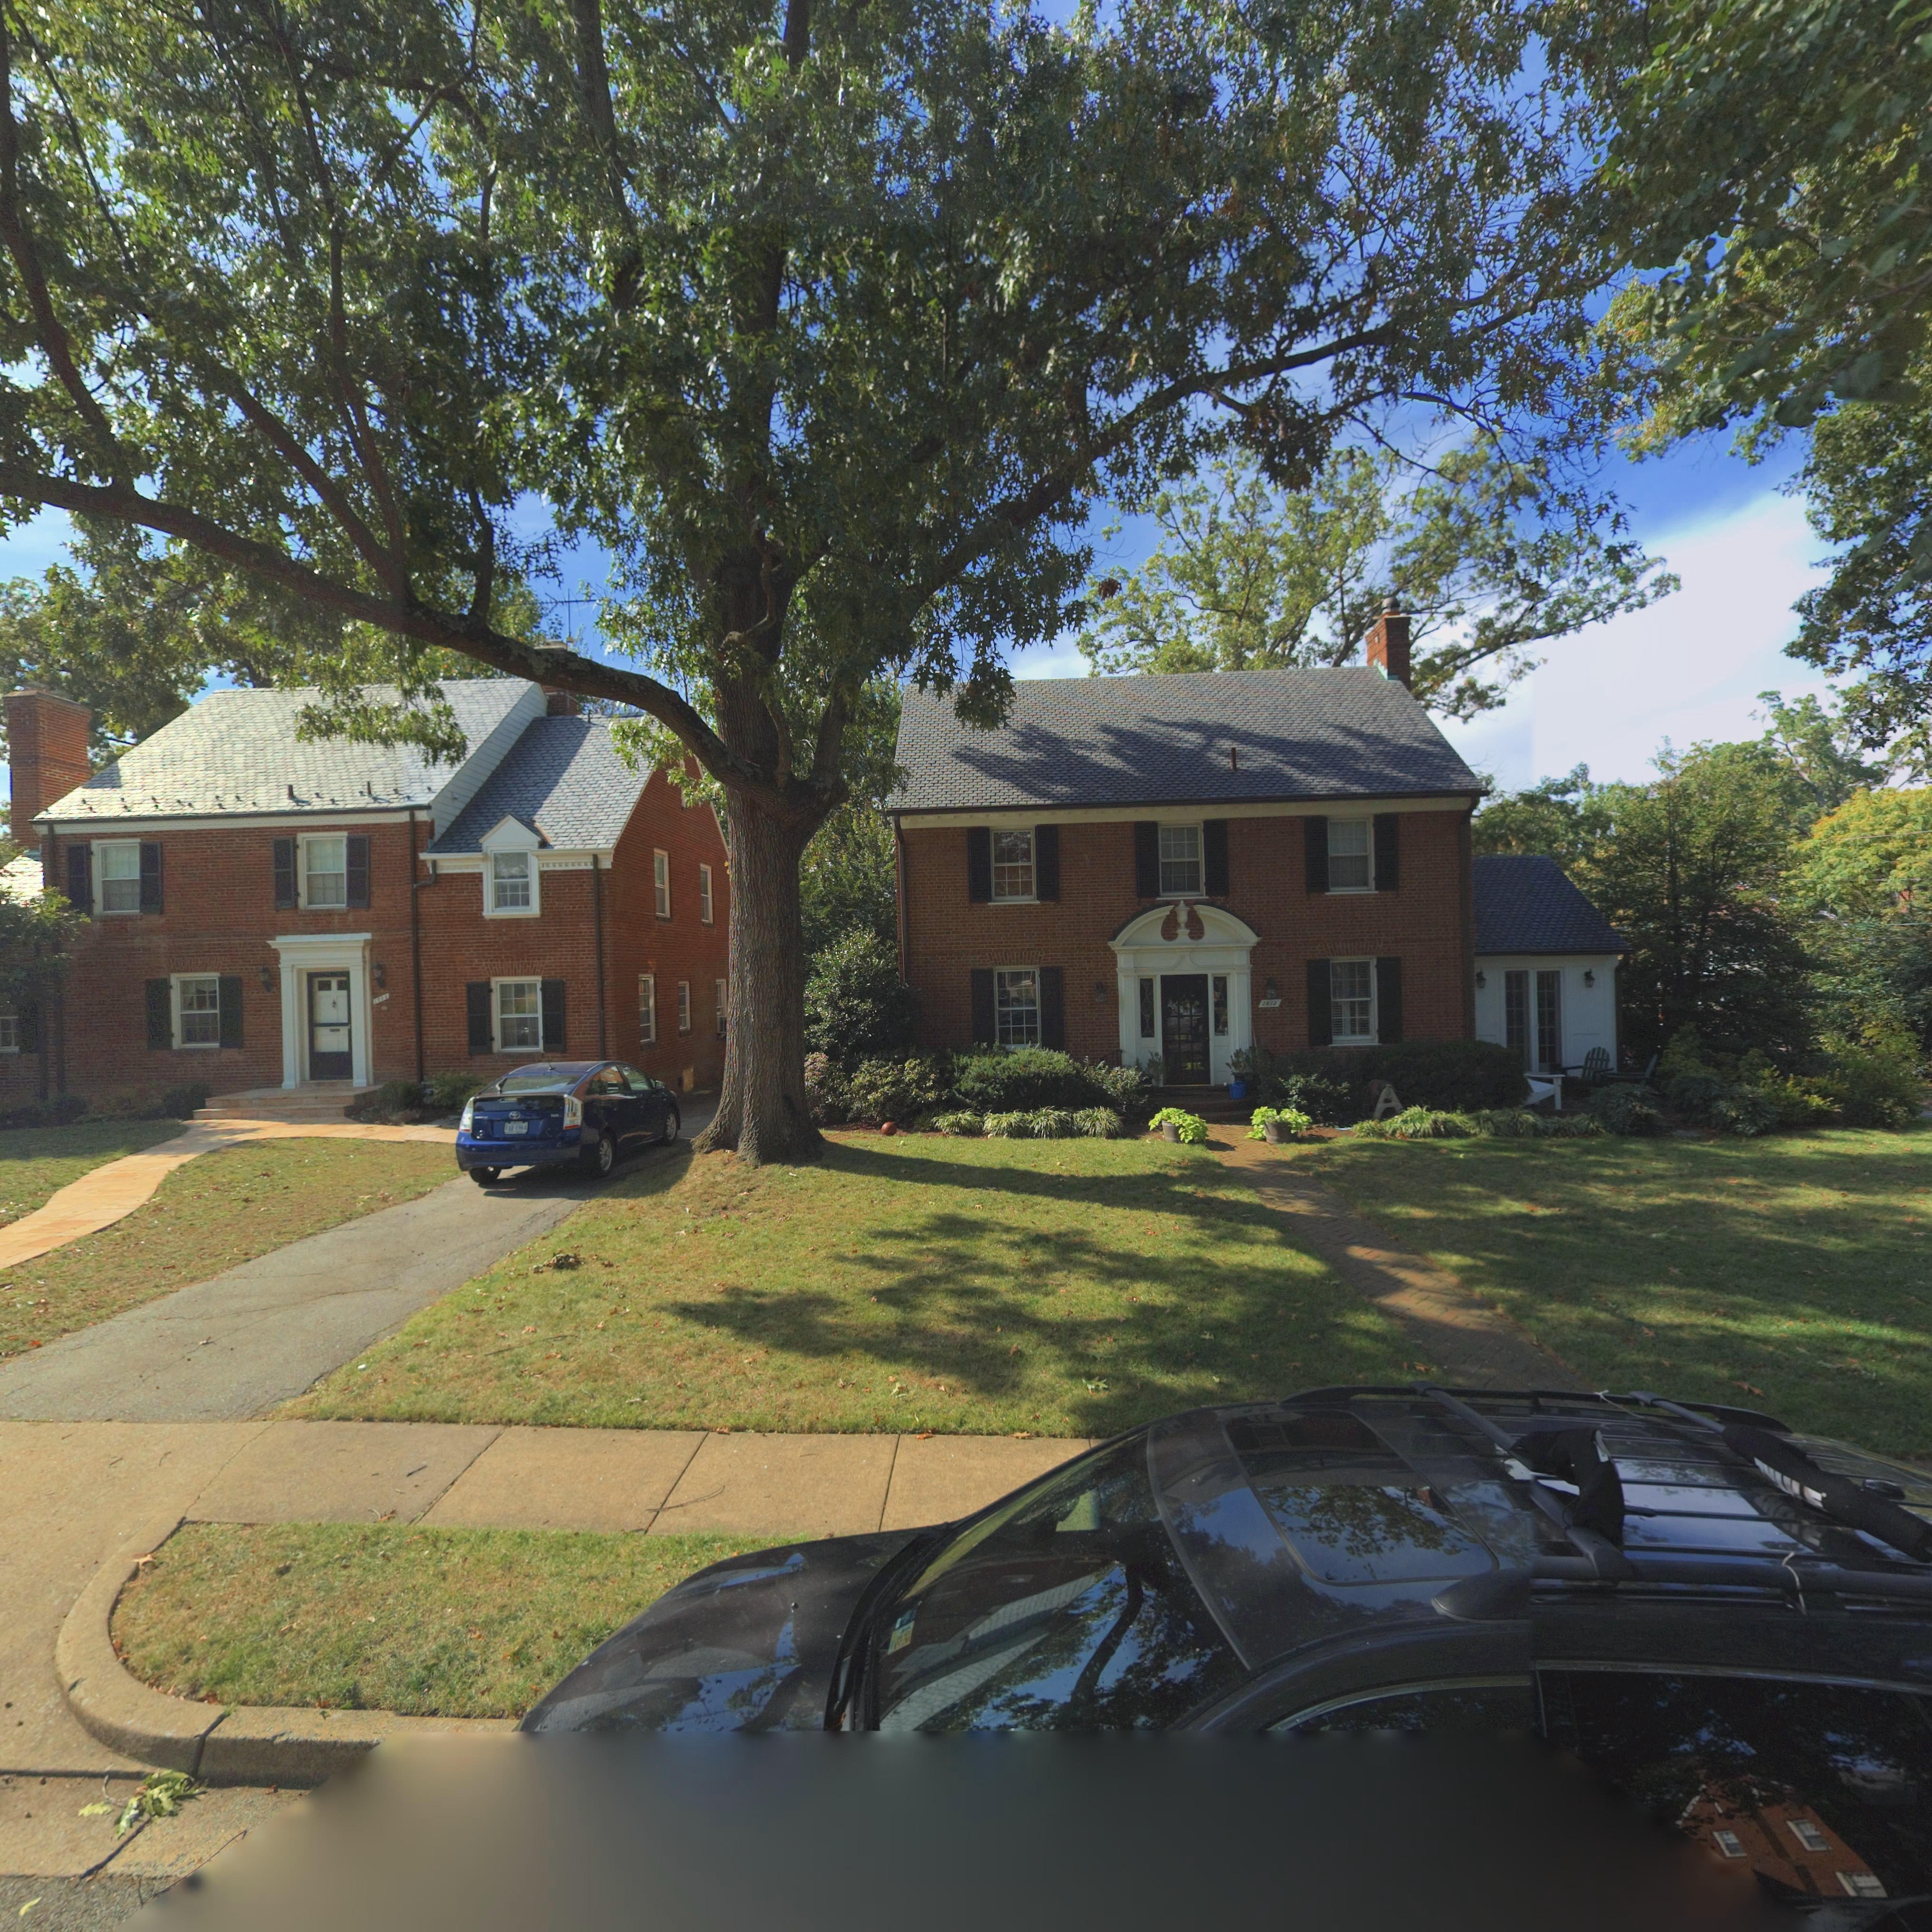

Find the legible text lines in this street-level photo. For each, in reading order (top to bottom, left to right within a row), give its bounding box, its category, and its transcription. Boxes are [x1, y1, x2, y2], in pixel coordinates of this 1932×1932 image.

[1260, 1000, 1279, 1007] StreetNumber: 1812